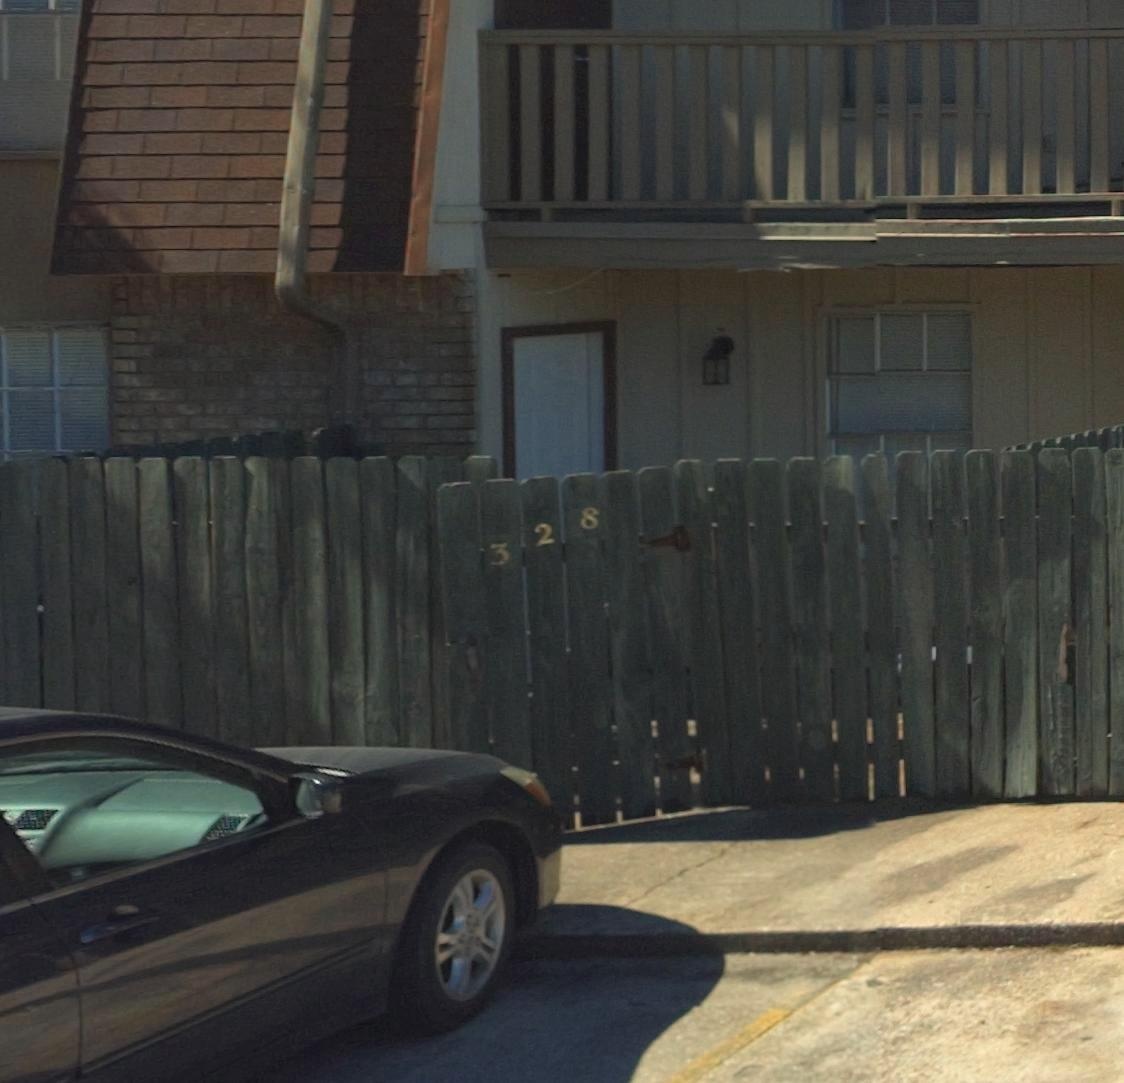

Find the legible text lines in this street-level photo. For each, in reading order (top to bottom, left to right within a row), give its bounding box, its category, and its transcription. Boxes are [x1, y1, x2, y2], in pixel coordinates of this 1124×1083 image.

[486, 504, 602, 568] StreetNumber: 328